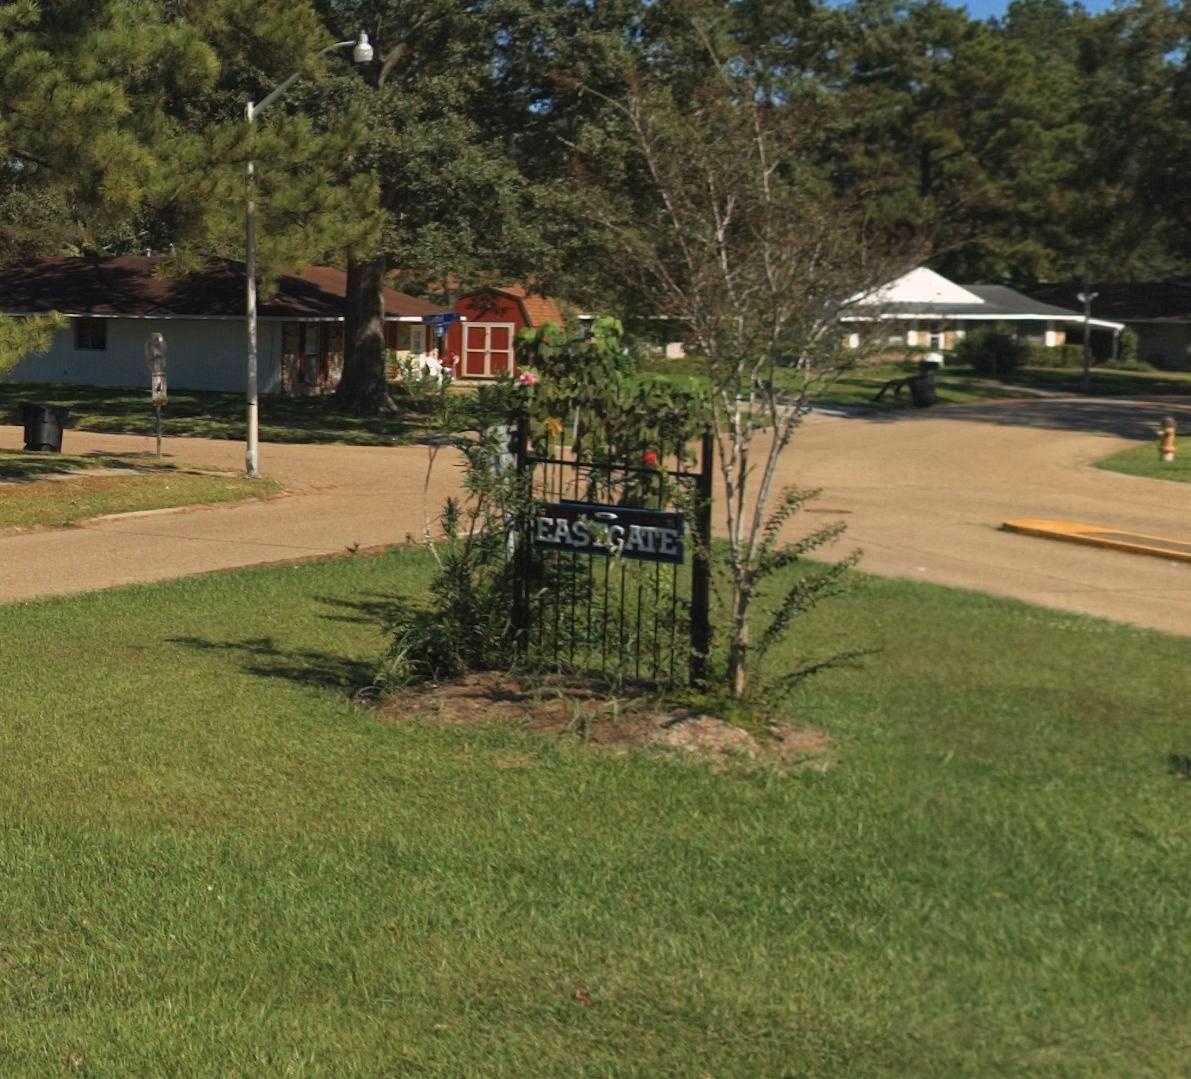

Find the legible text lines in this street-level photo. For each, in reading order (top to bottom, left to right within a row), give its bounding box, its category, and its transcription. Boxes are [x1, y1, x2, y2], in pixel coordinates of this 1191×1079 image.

[532, 512, 681, 558] None: EAS*GATE